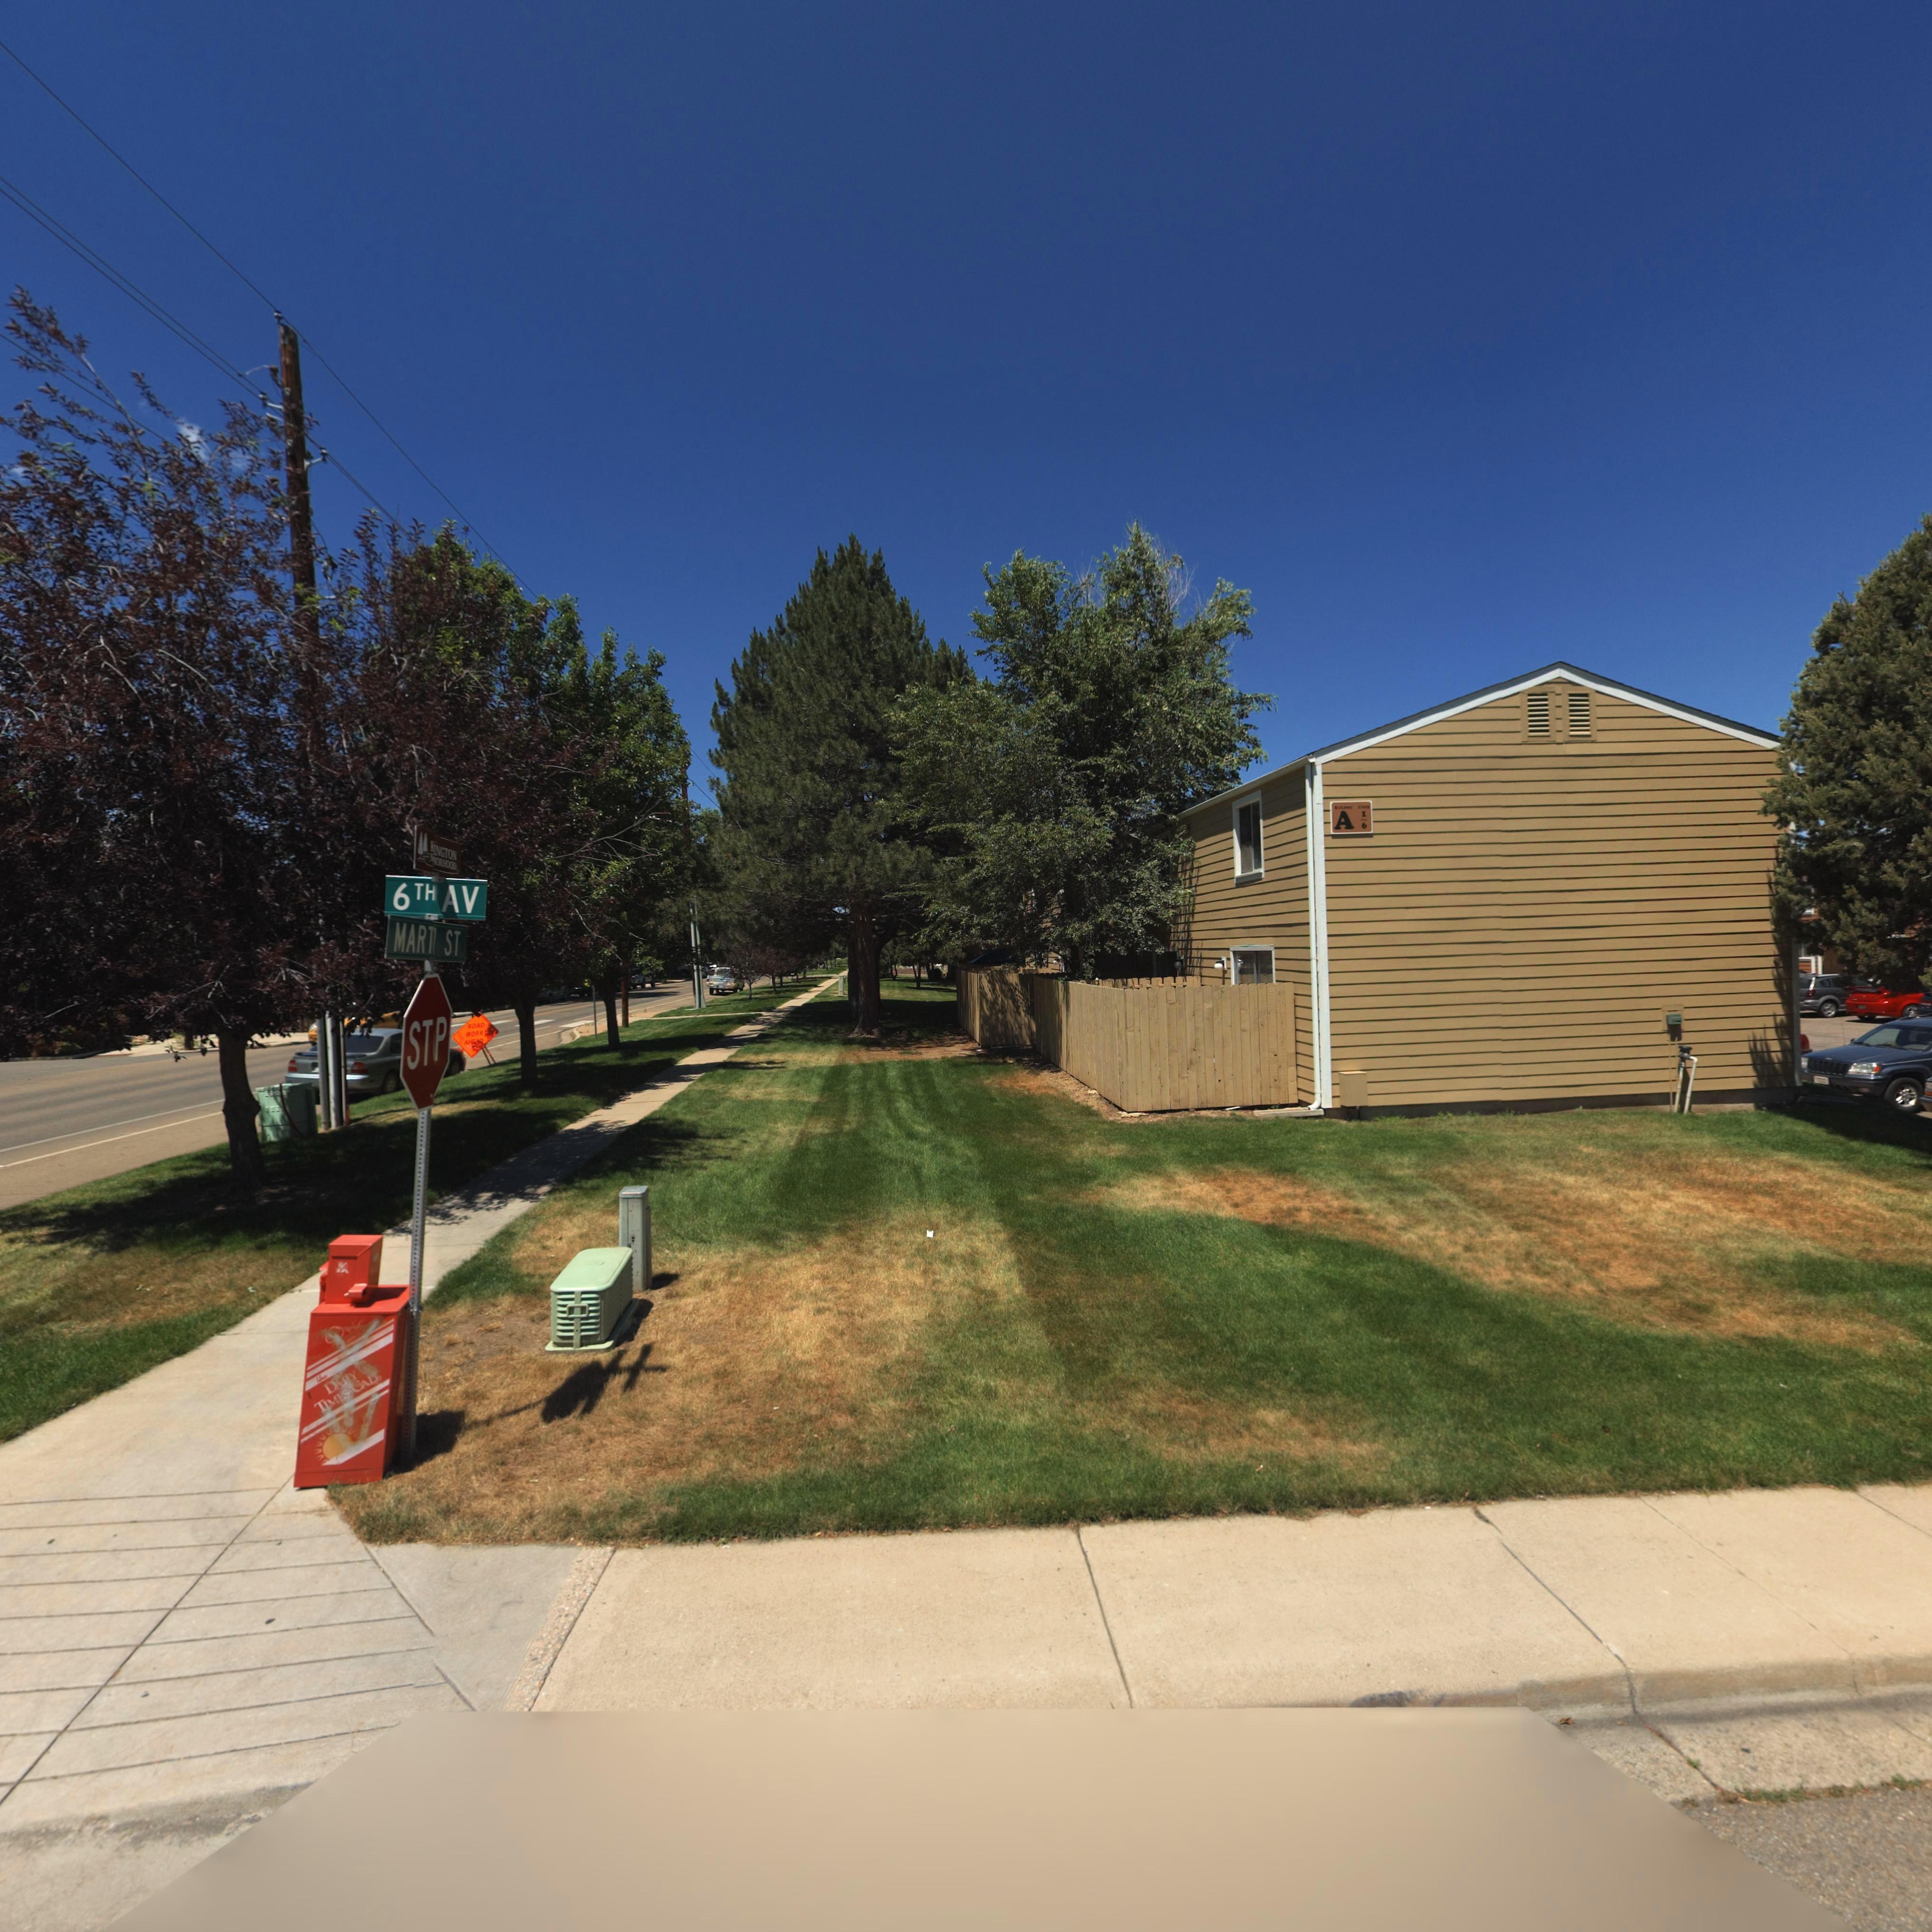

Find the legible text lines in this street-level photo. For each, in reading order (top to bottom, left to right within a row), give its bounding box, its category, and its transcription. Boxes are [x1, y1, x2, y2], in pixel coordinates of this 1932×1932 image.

[1357, 804, 1370, 809] SecondaryUnitDesignator: U****
[391, 881, 480, 914] StreetName: 6TH AV
[393, 921, 462, 957] StreetName: MART* ST